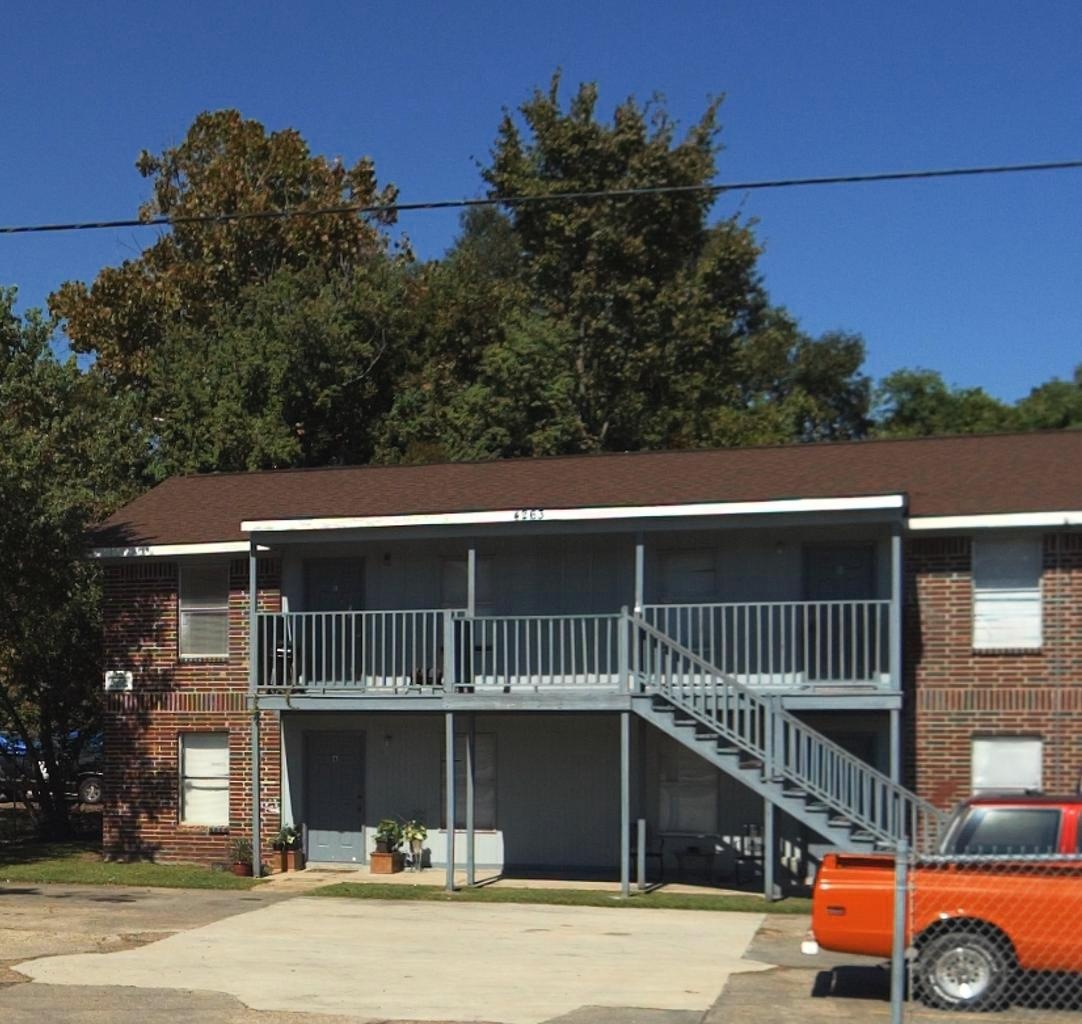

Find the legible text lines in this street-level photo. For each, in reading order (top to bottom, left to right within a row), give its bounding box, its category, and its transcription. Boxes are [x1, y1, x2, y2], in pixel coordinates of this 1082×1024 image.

[512, 508, 545, 522] StreetNumber: 4263